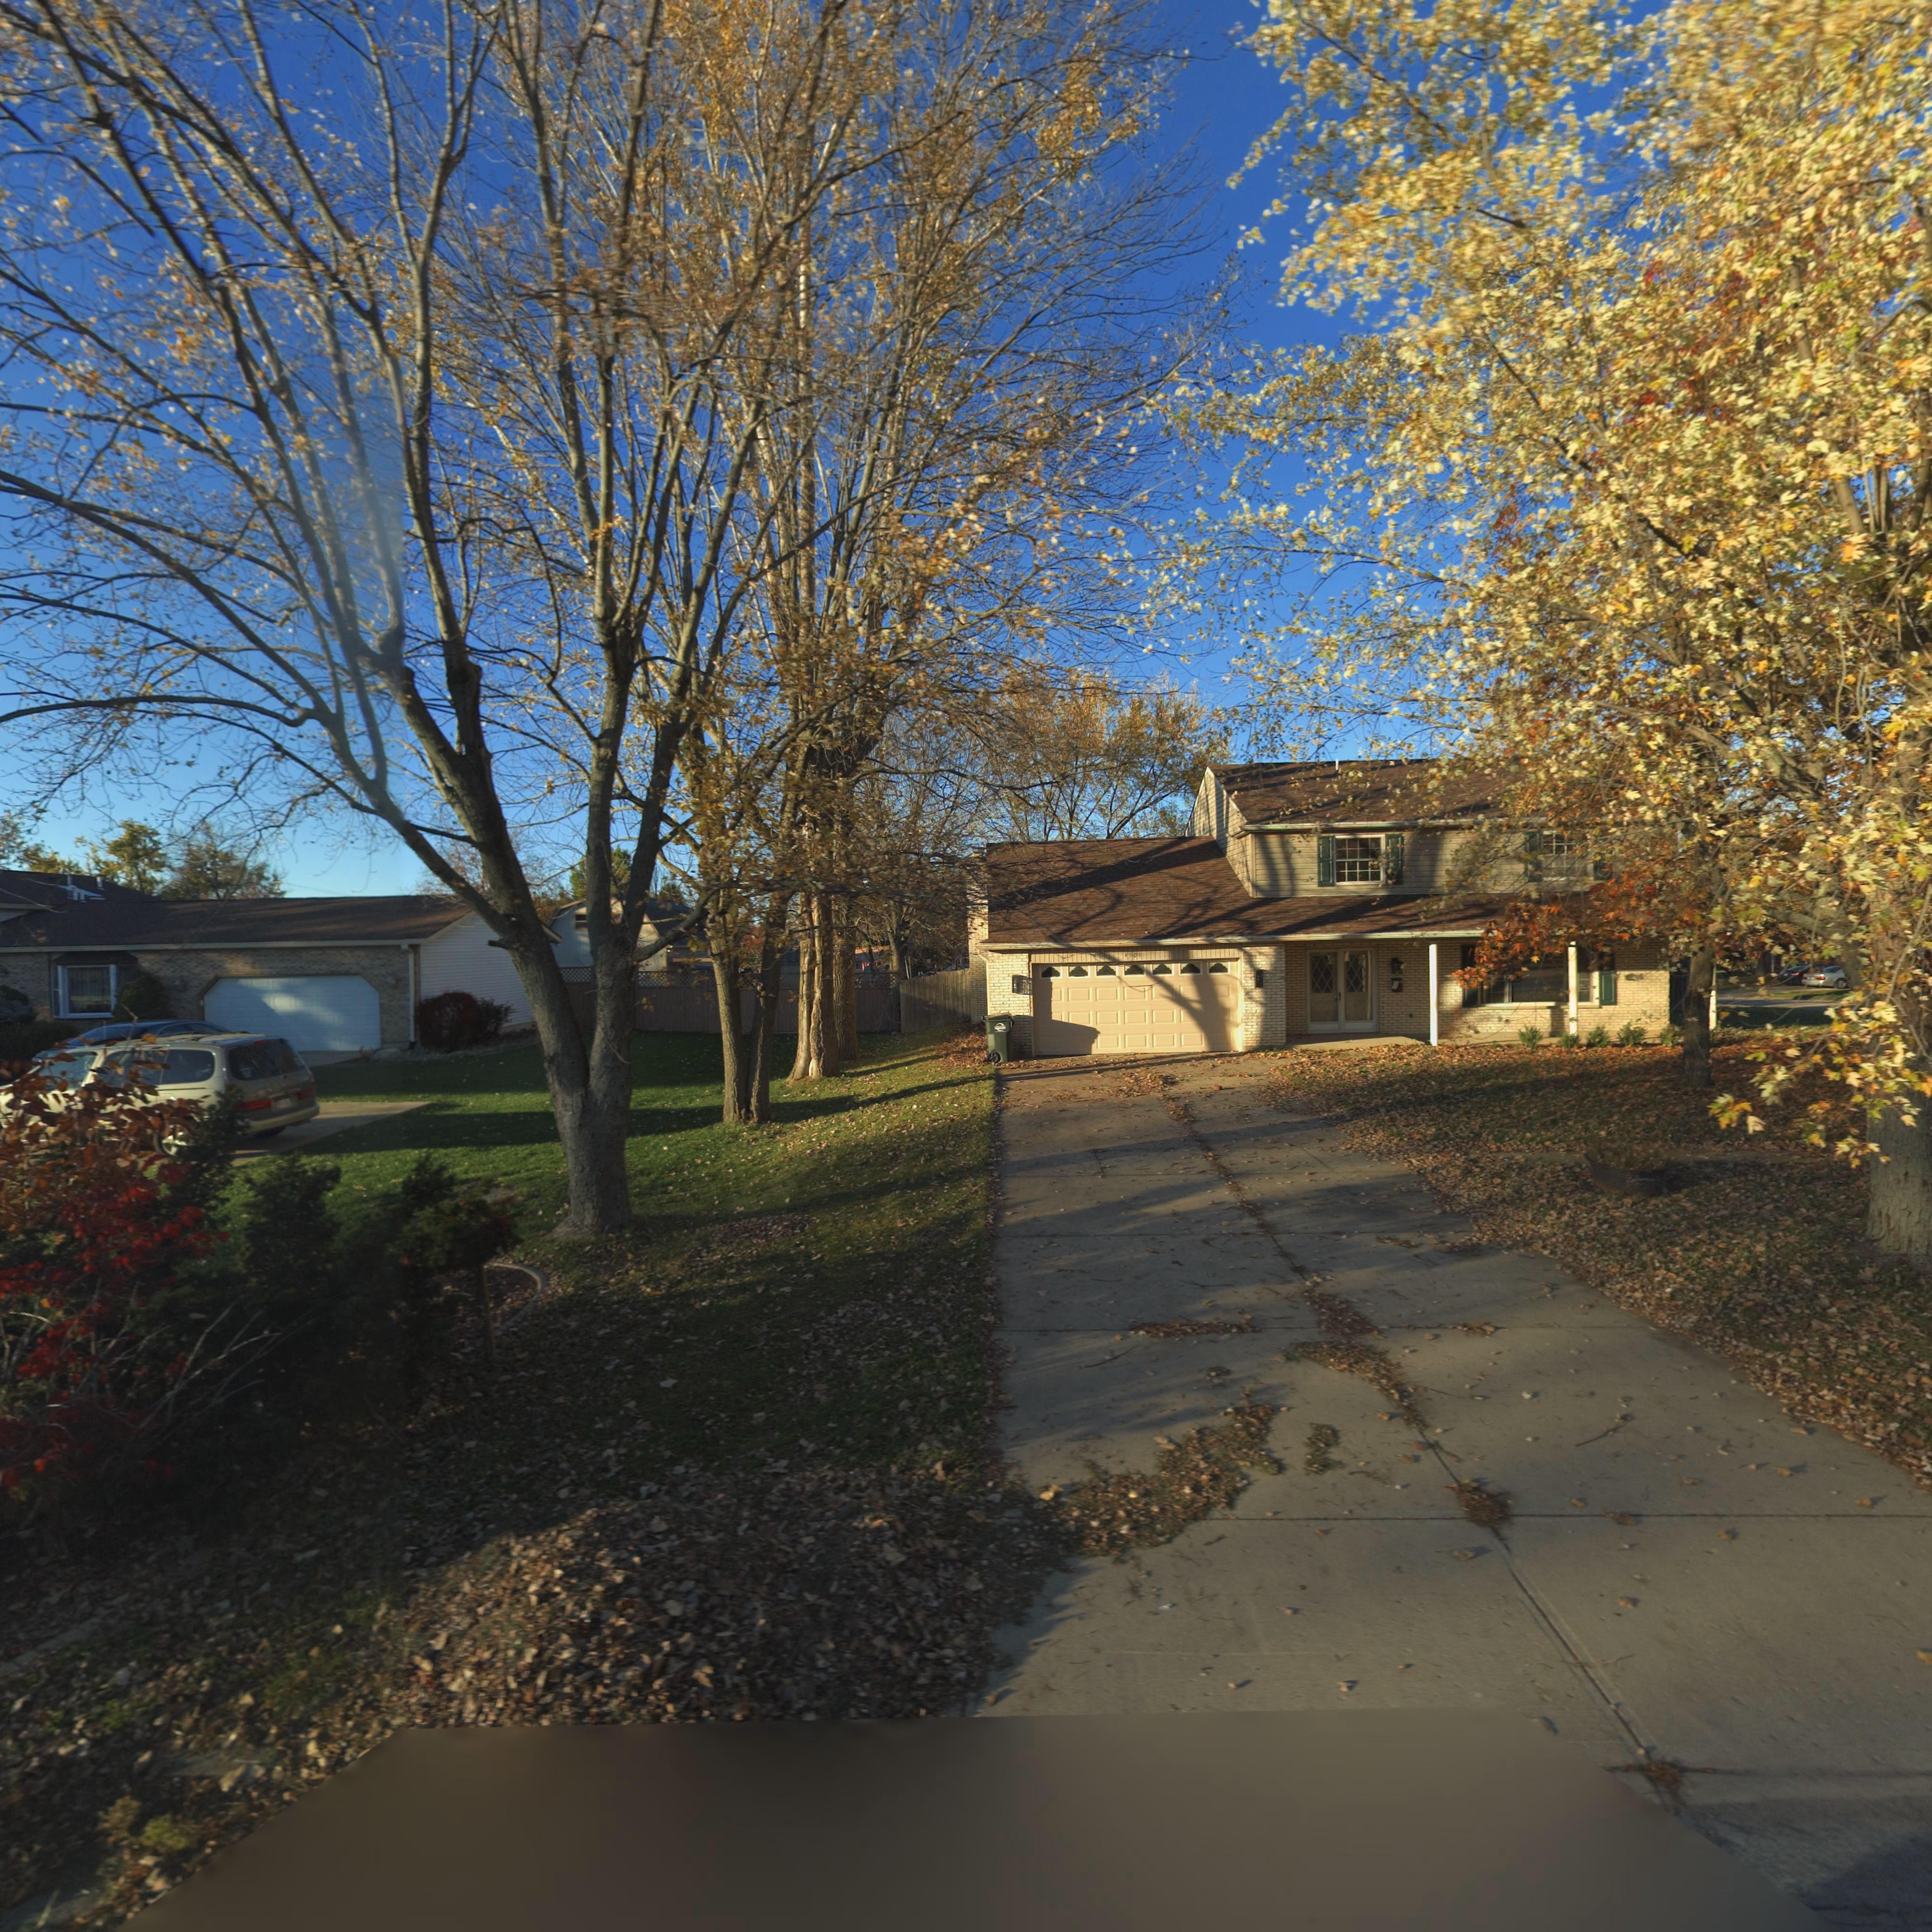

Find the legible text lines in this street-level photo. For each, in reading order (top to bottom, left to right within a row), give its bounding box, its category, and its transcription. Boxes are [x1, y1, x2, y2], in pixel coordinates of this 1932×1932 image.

[1124, 951, 1141, 958] StreetNumber: 4961